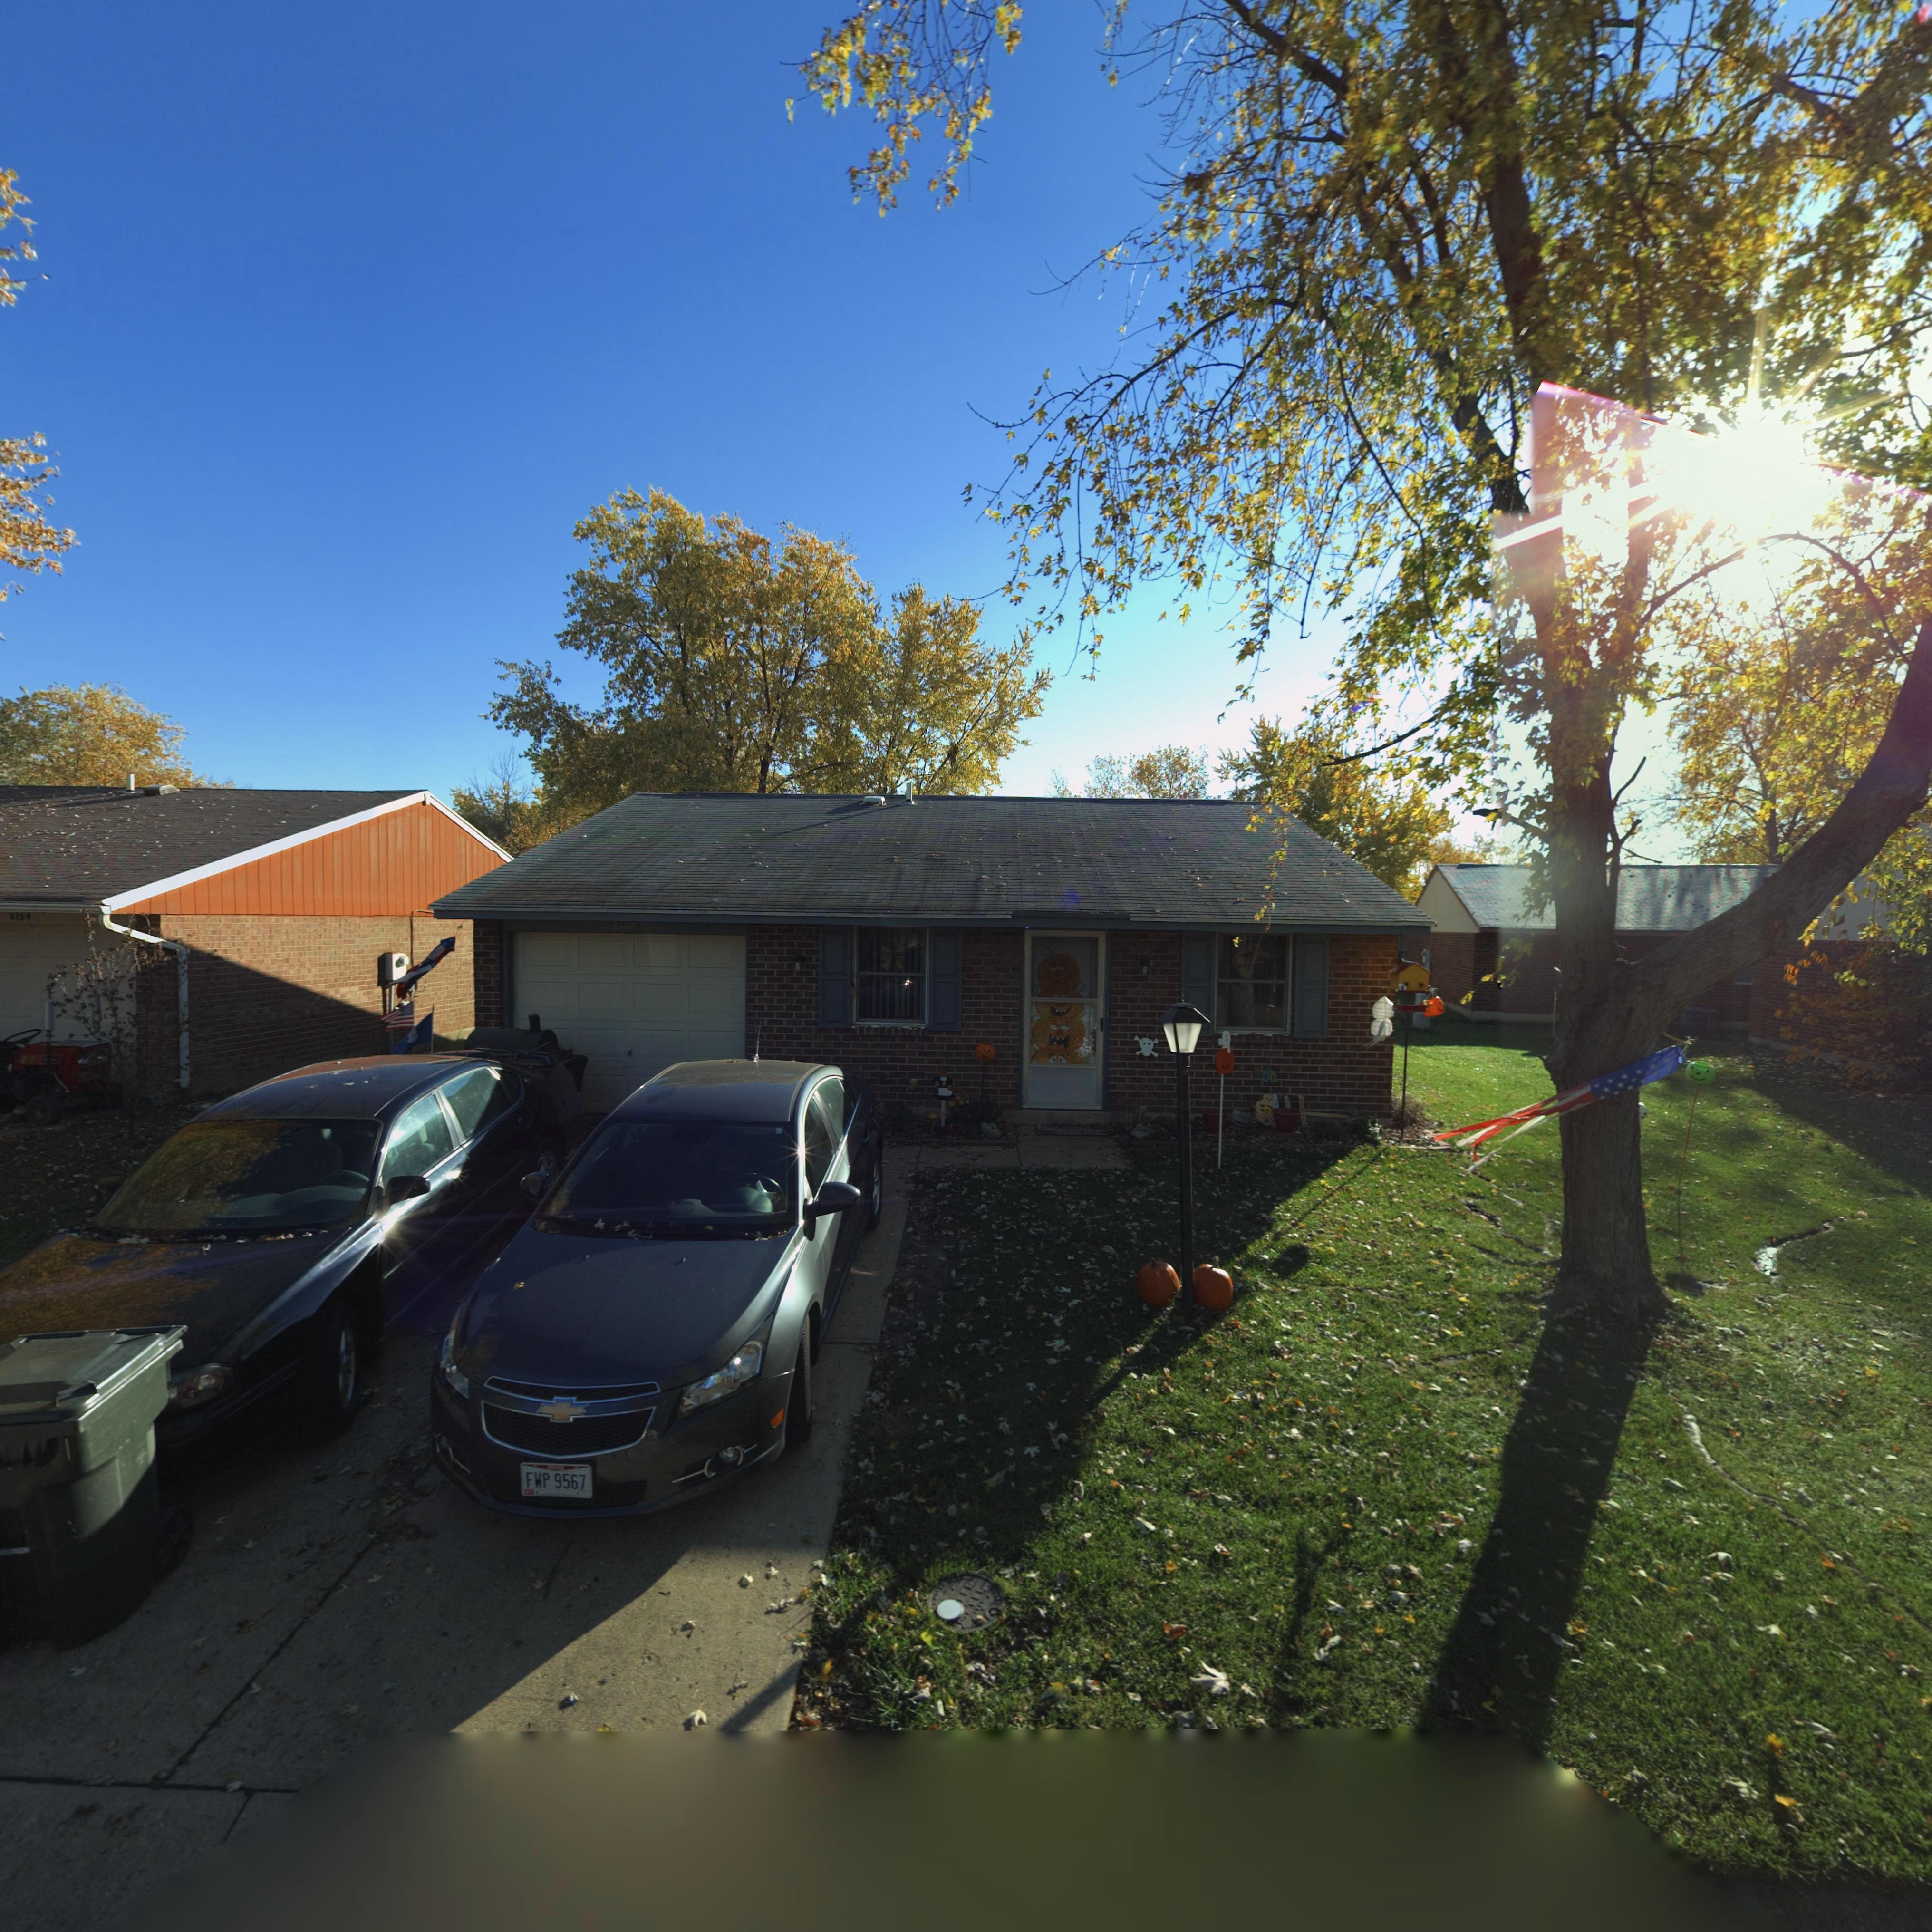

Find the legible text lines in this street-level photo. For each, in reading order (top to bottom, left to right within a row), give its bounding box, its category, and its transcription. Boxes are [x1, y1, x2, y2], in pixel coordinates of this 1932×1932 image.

[9, 912, 32, 922] StreetNumber: 8134
[612, 921, 638, 931] StreetNumber: 8126